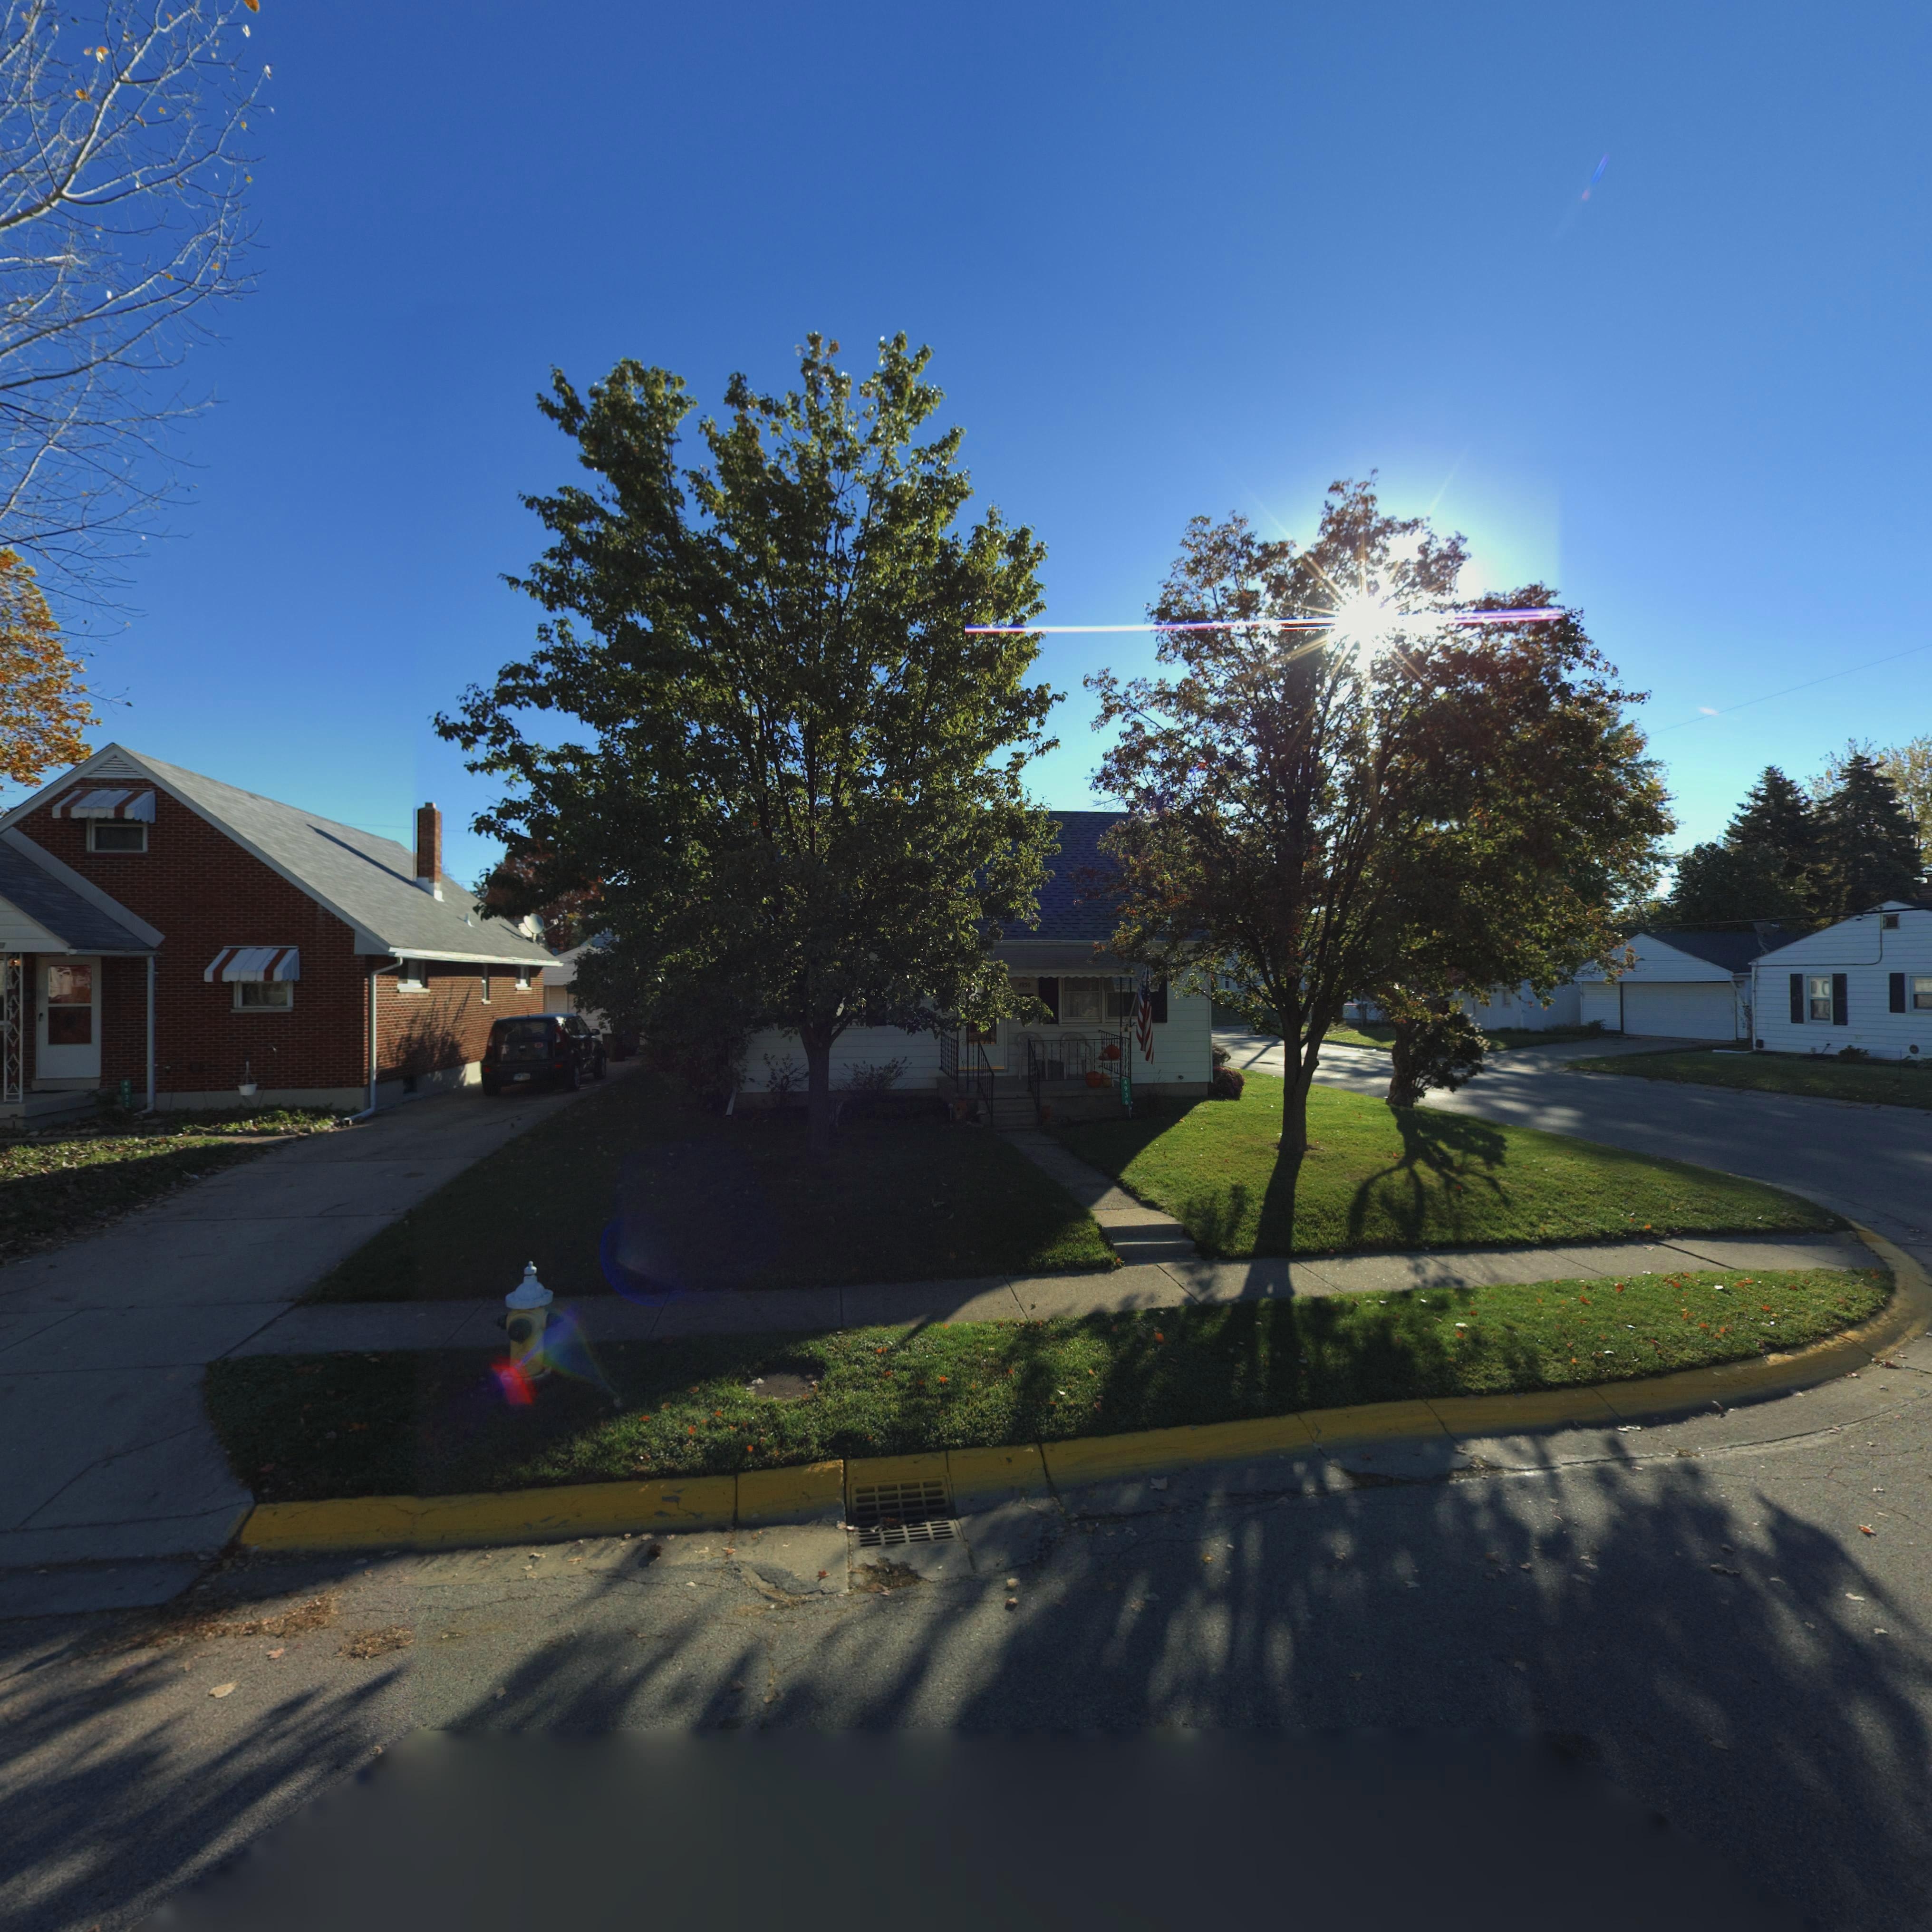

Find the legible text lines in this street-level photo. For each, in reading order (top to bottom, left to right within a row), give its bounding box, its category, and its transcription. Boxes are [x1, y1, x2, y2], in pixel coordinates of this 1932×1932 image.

[1122, 1078, 1130, 1106] StreetNumber: 4936